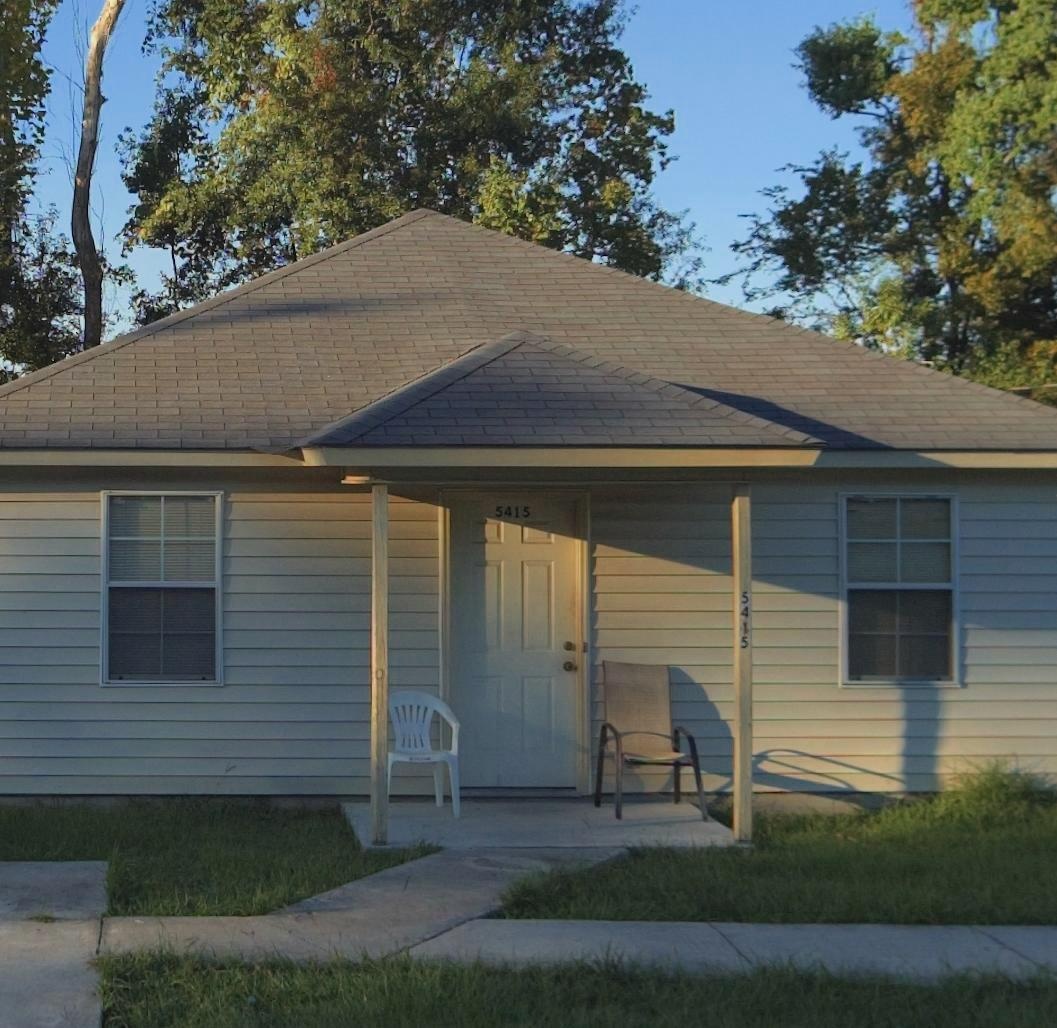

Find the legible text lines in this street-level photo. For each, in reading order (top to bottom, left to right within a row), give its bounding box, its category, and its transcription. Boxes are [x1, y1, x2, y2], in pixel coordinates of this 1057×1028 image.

[494, 506, 532, 518] StreetNumber: 5415
[740, 590, 750, 649] StreetNumber: 5415